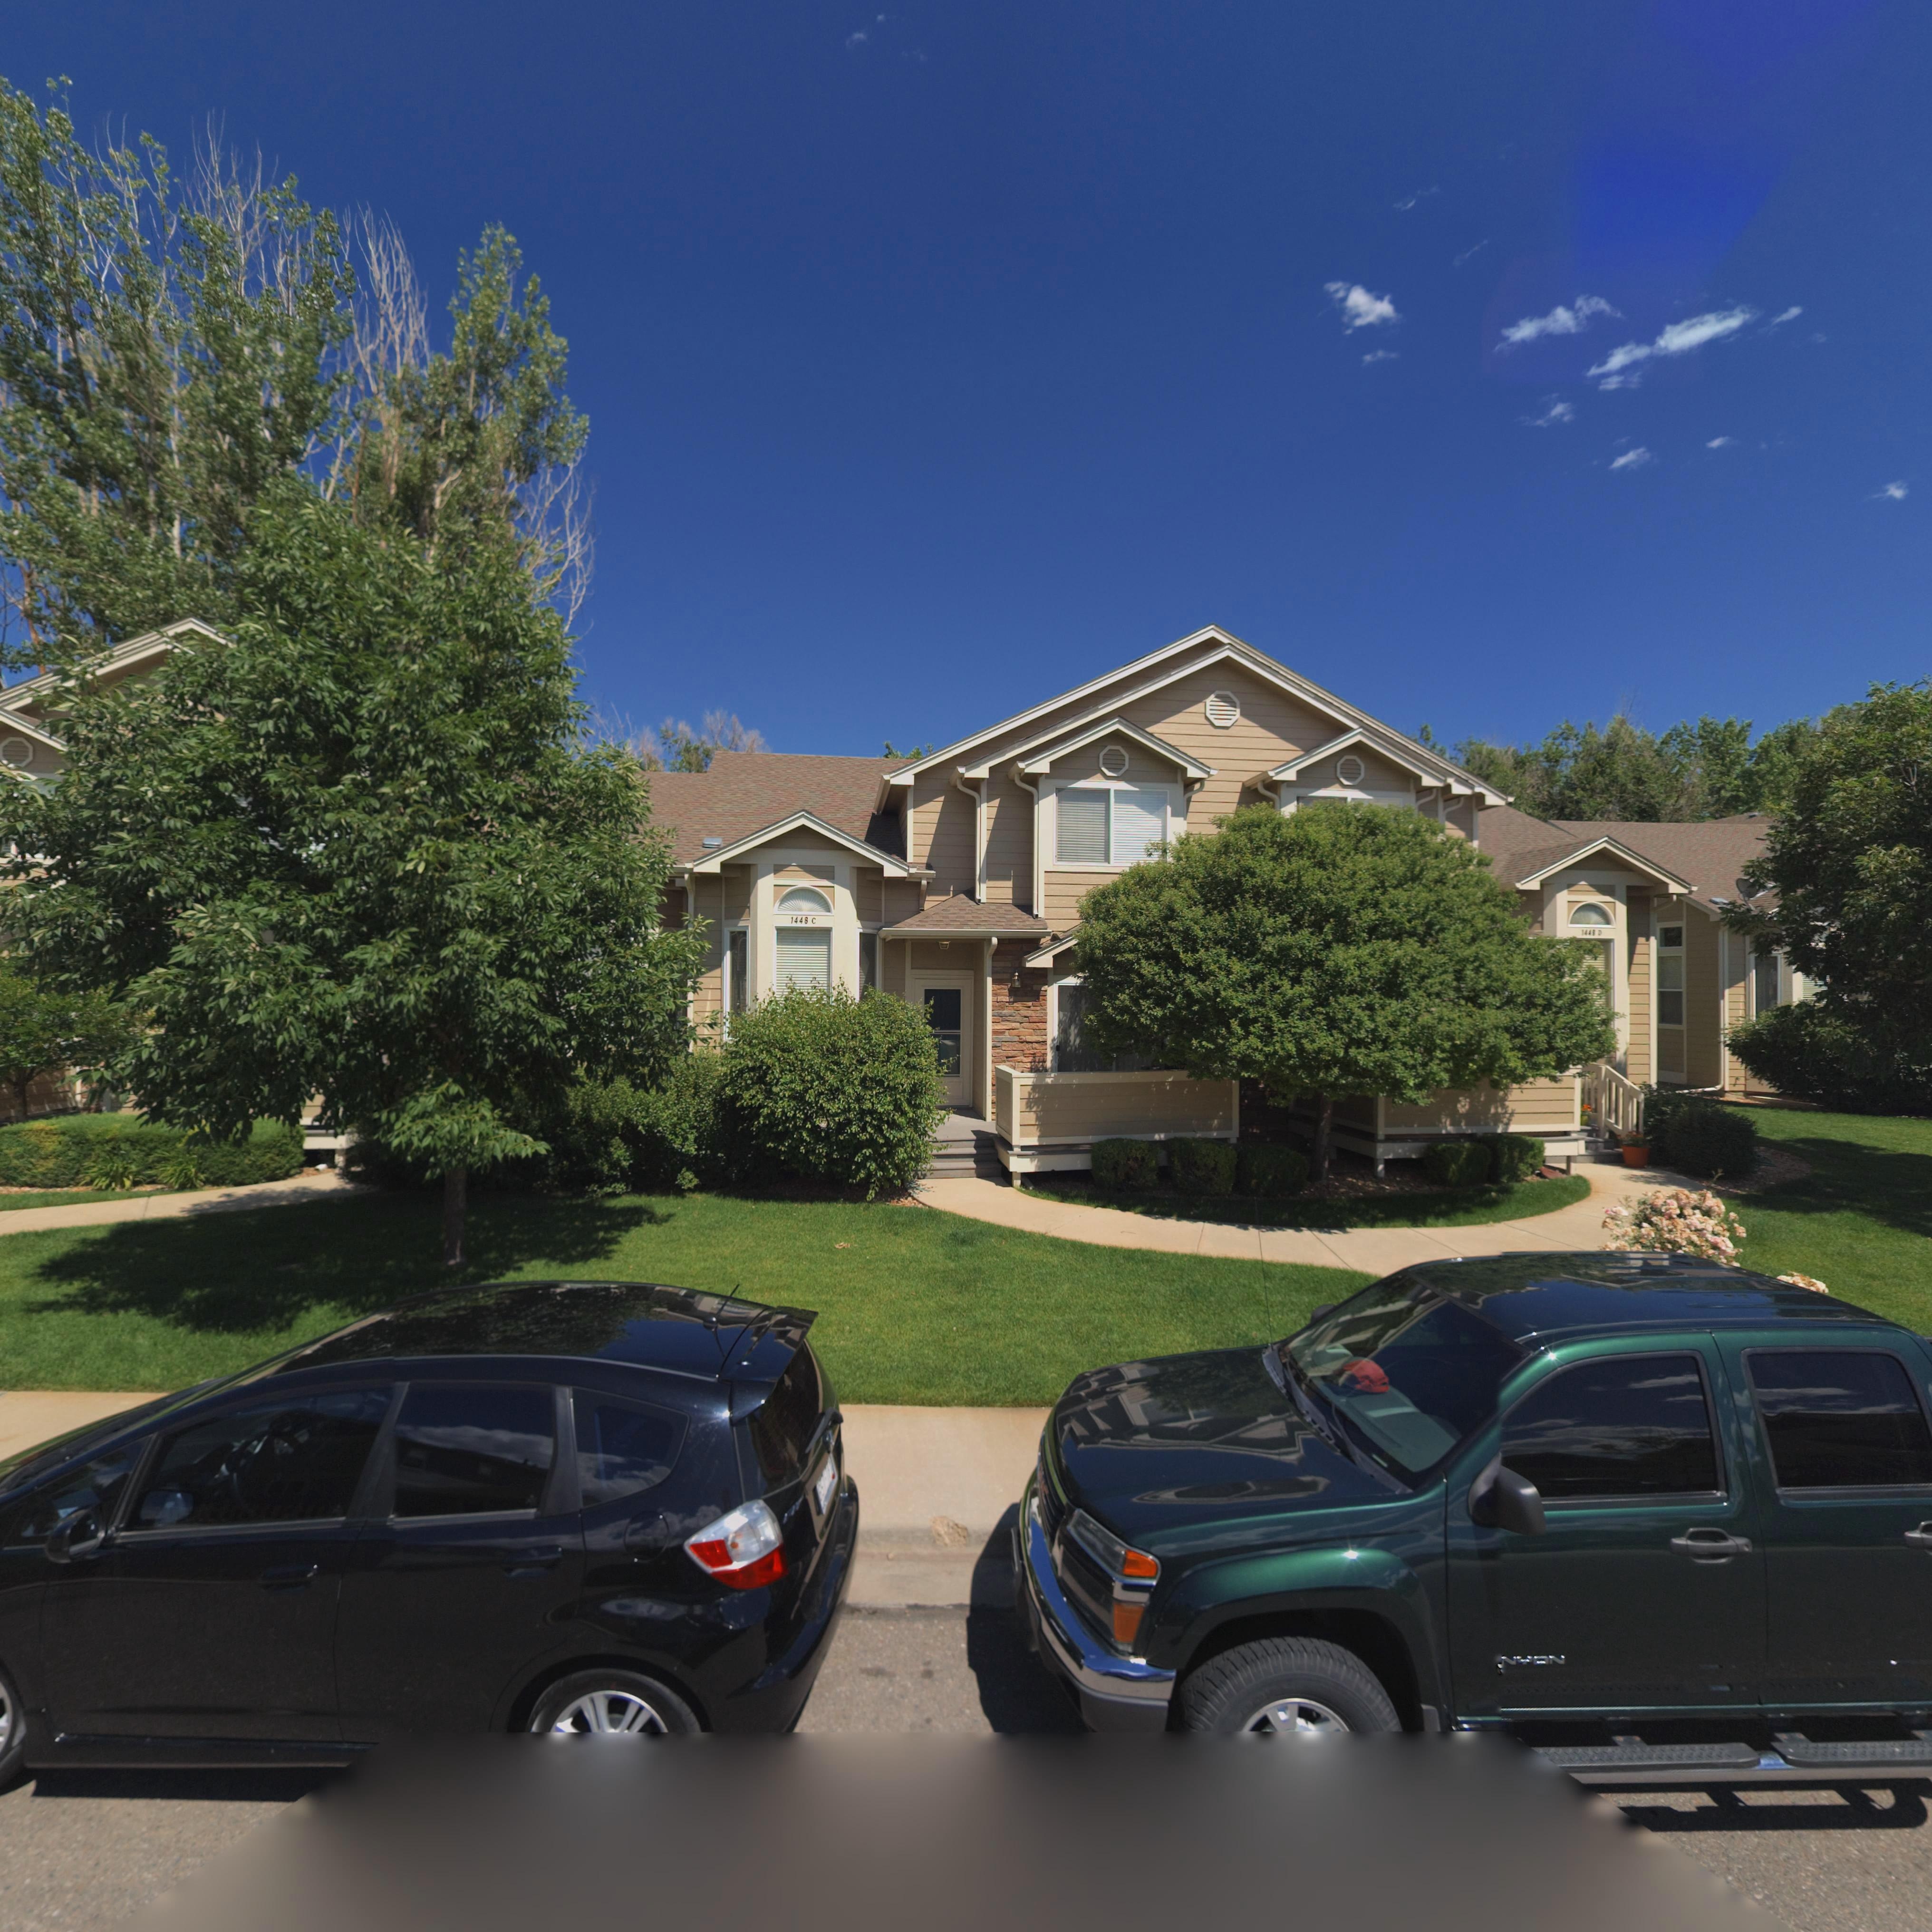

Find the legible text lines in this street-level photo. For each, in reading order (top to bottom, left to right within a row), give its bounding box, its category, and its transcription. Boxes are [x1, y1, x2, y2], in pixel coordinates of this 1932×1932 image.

[791, 916, 808, 924] StreetNumber: 1448
[811, 917, 816, 924] SecondaryUnitDesignator: C
[1581, 928, 1595, 937] StreetNumber: 1448
[1597, 929, 1602, 936] SecondaryUnitDesignator: D